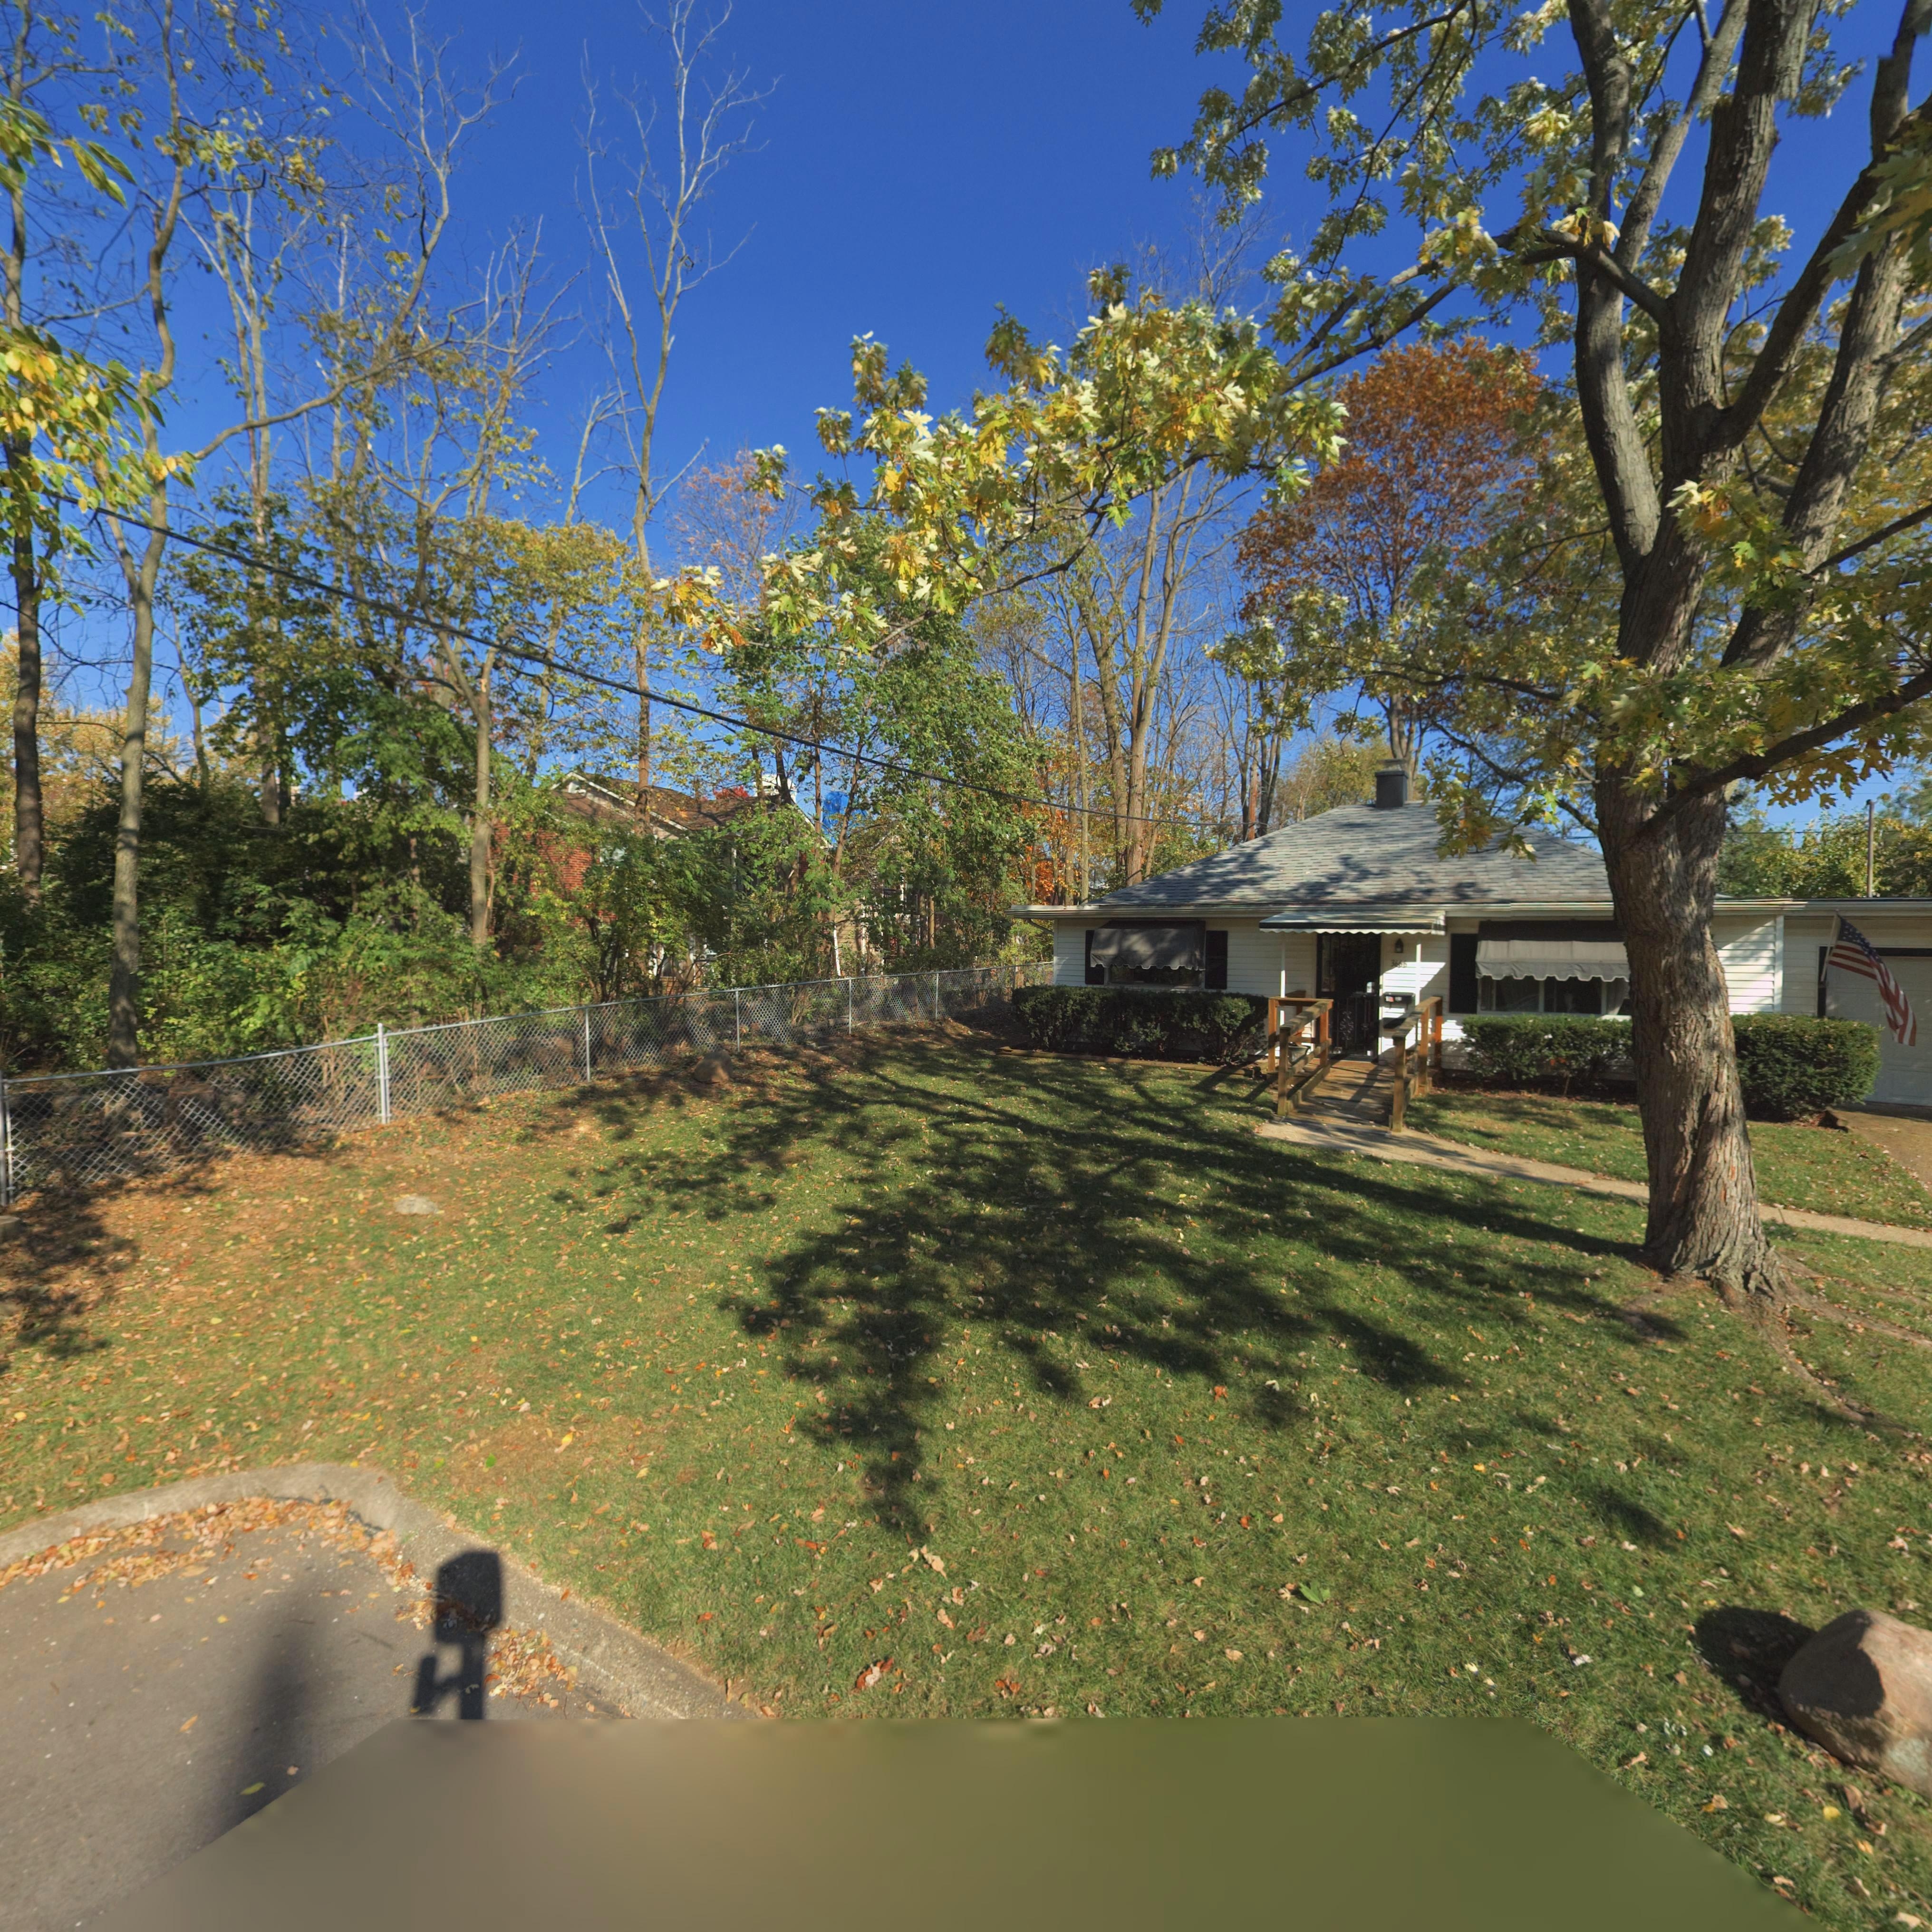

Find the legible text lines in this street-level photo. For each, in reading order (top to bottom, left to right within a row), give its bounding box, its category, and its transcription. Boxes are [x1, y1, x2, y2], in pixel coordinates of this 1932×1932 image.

[1391, 958, 1407, 967] StreetNumber: 3666